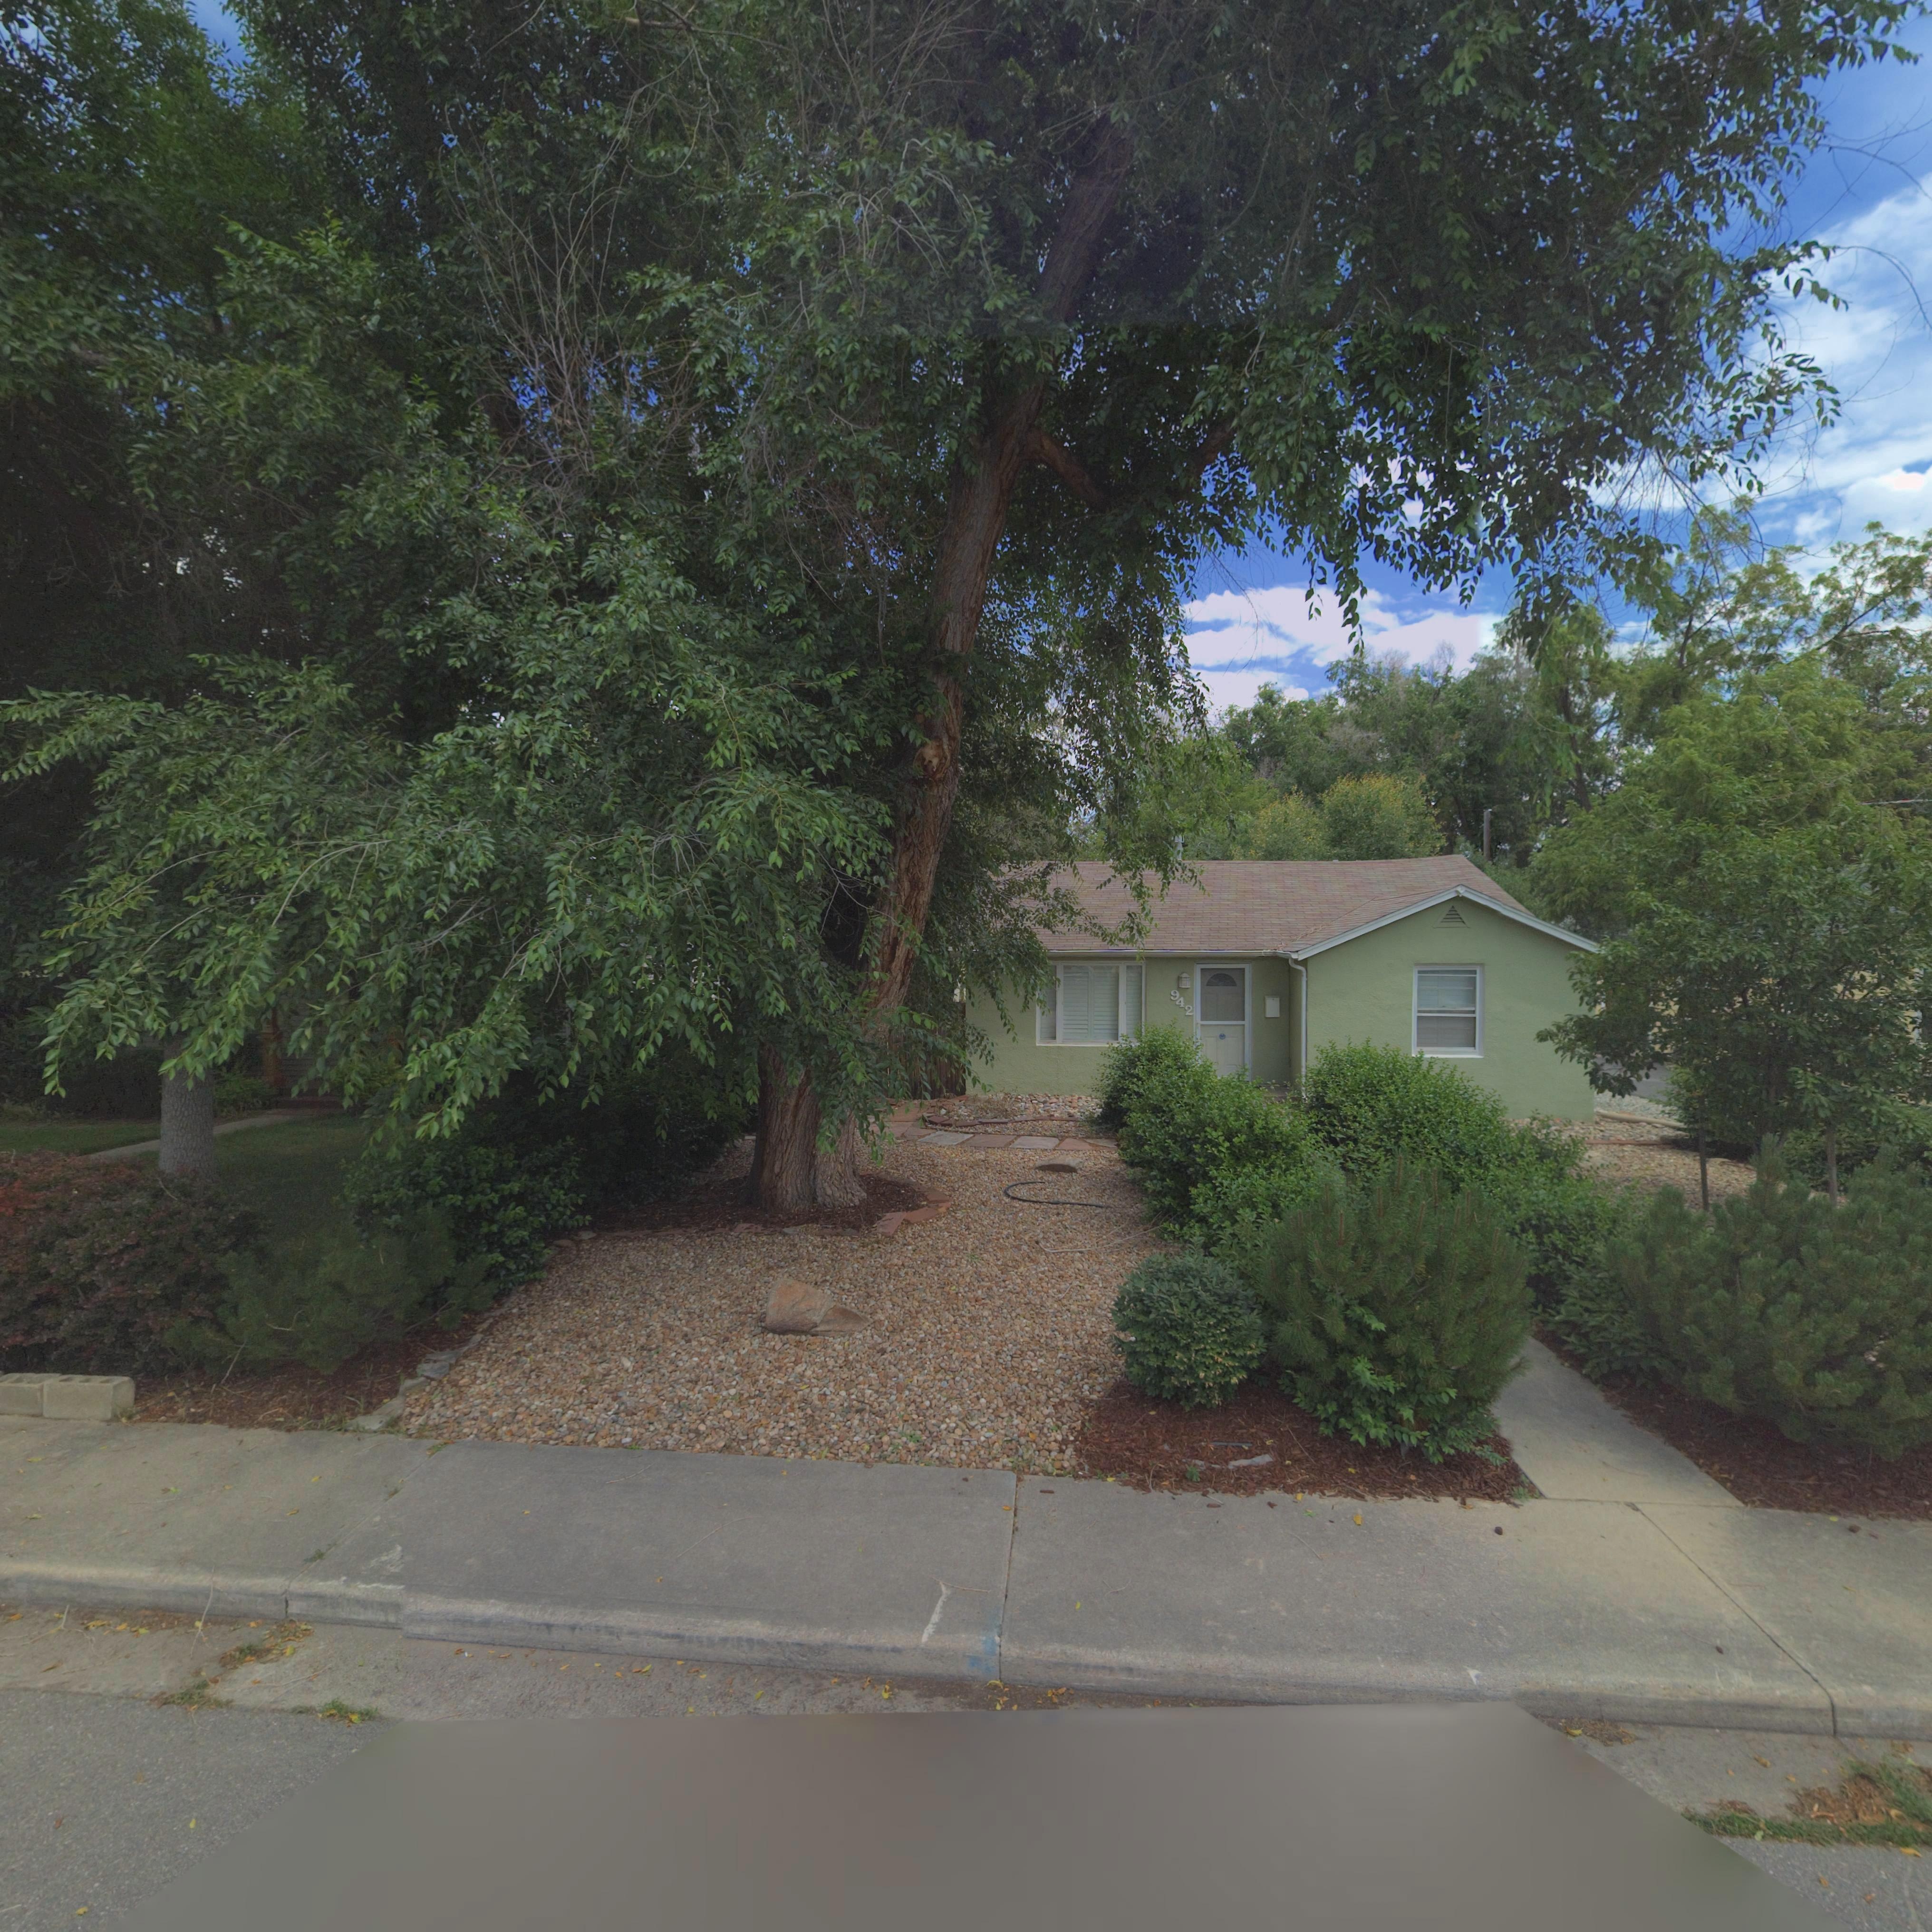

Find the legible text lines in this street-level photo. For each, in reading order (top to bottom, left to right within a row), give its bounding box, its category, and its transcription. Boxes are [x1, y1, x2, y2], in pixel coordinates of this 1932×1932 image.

[1170, 989, 1194, 1016] StreetNumber: 942